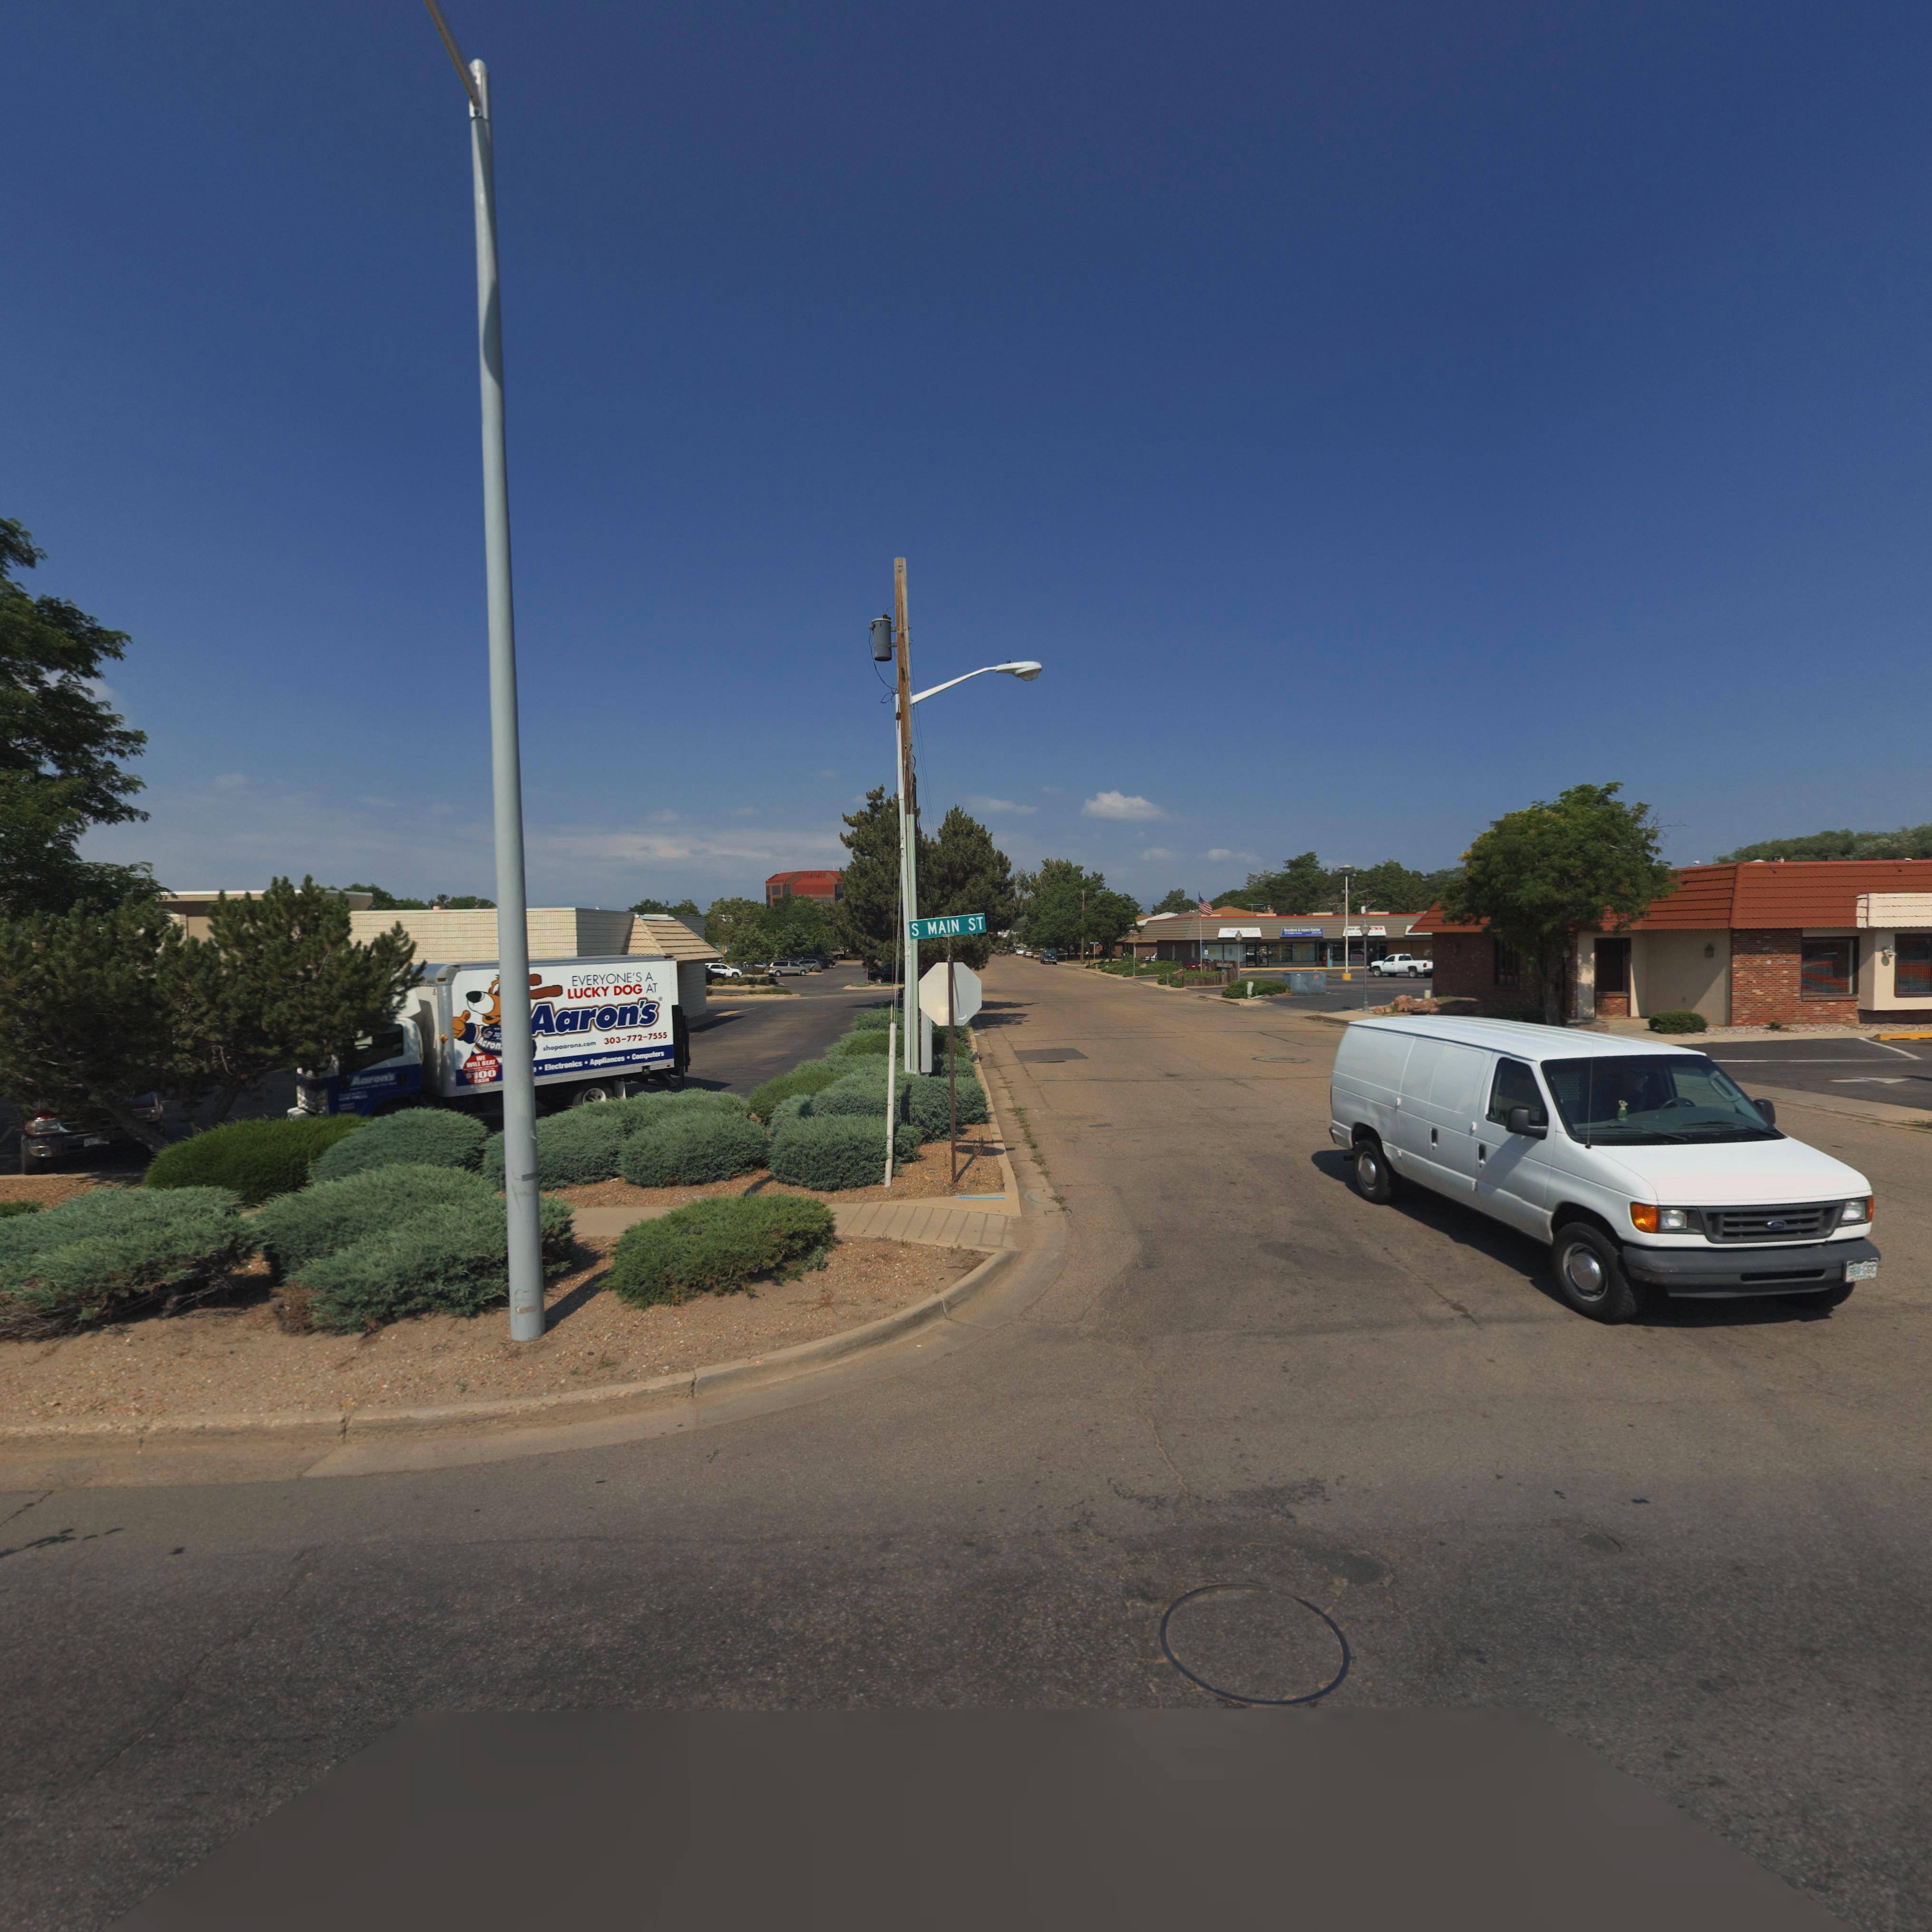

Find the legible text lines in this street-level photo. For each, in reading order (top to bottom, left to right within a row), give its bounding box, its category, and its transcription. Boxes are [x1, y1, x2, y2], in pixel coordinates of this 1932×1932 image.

[911, 916, 983, 937] StreetName: S MAIN ST
[1284, 927, 1321, 932] BusinessName: Accident & Injury Center
[1347, 926, 1383, 930] BusinessName: **SON A*** *UNS